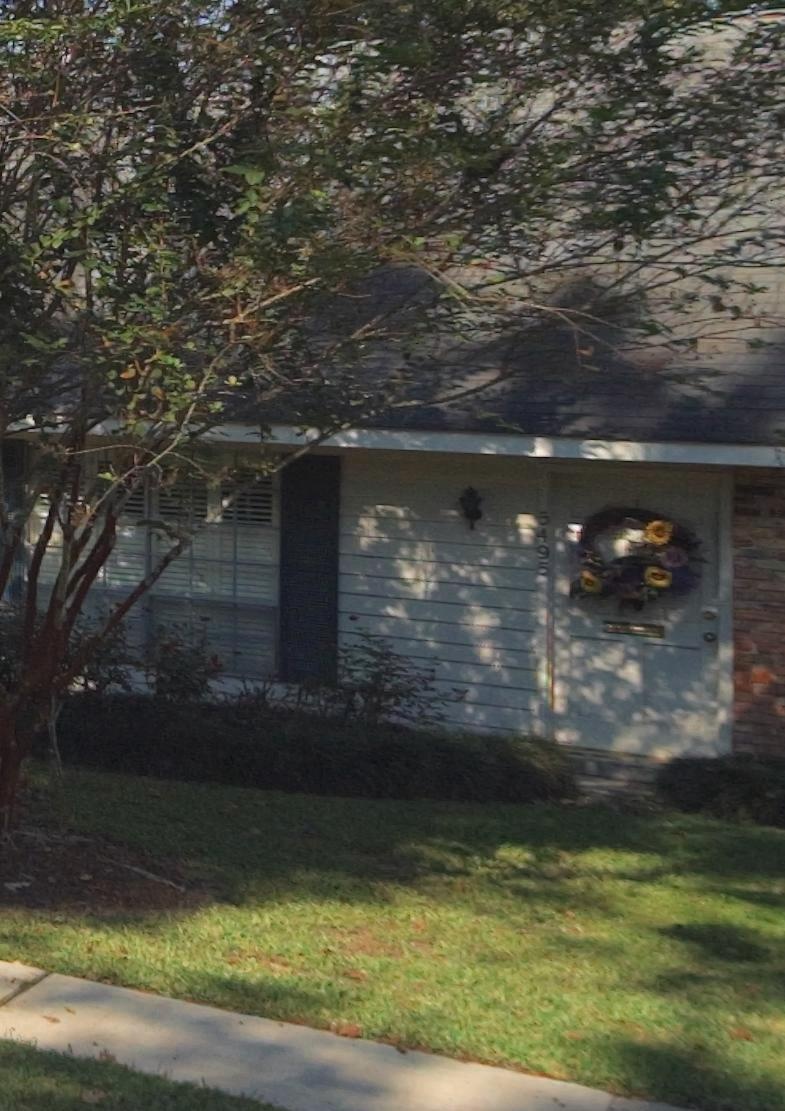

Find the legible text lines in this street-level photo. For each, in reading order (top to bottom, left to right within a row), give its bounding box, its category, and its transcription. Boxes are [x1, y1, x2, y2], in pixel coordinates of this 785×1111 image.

[537, 511, 551, 576] StreetNumber: 5495